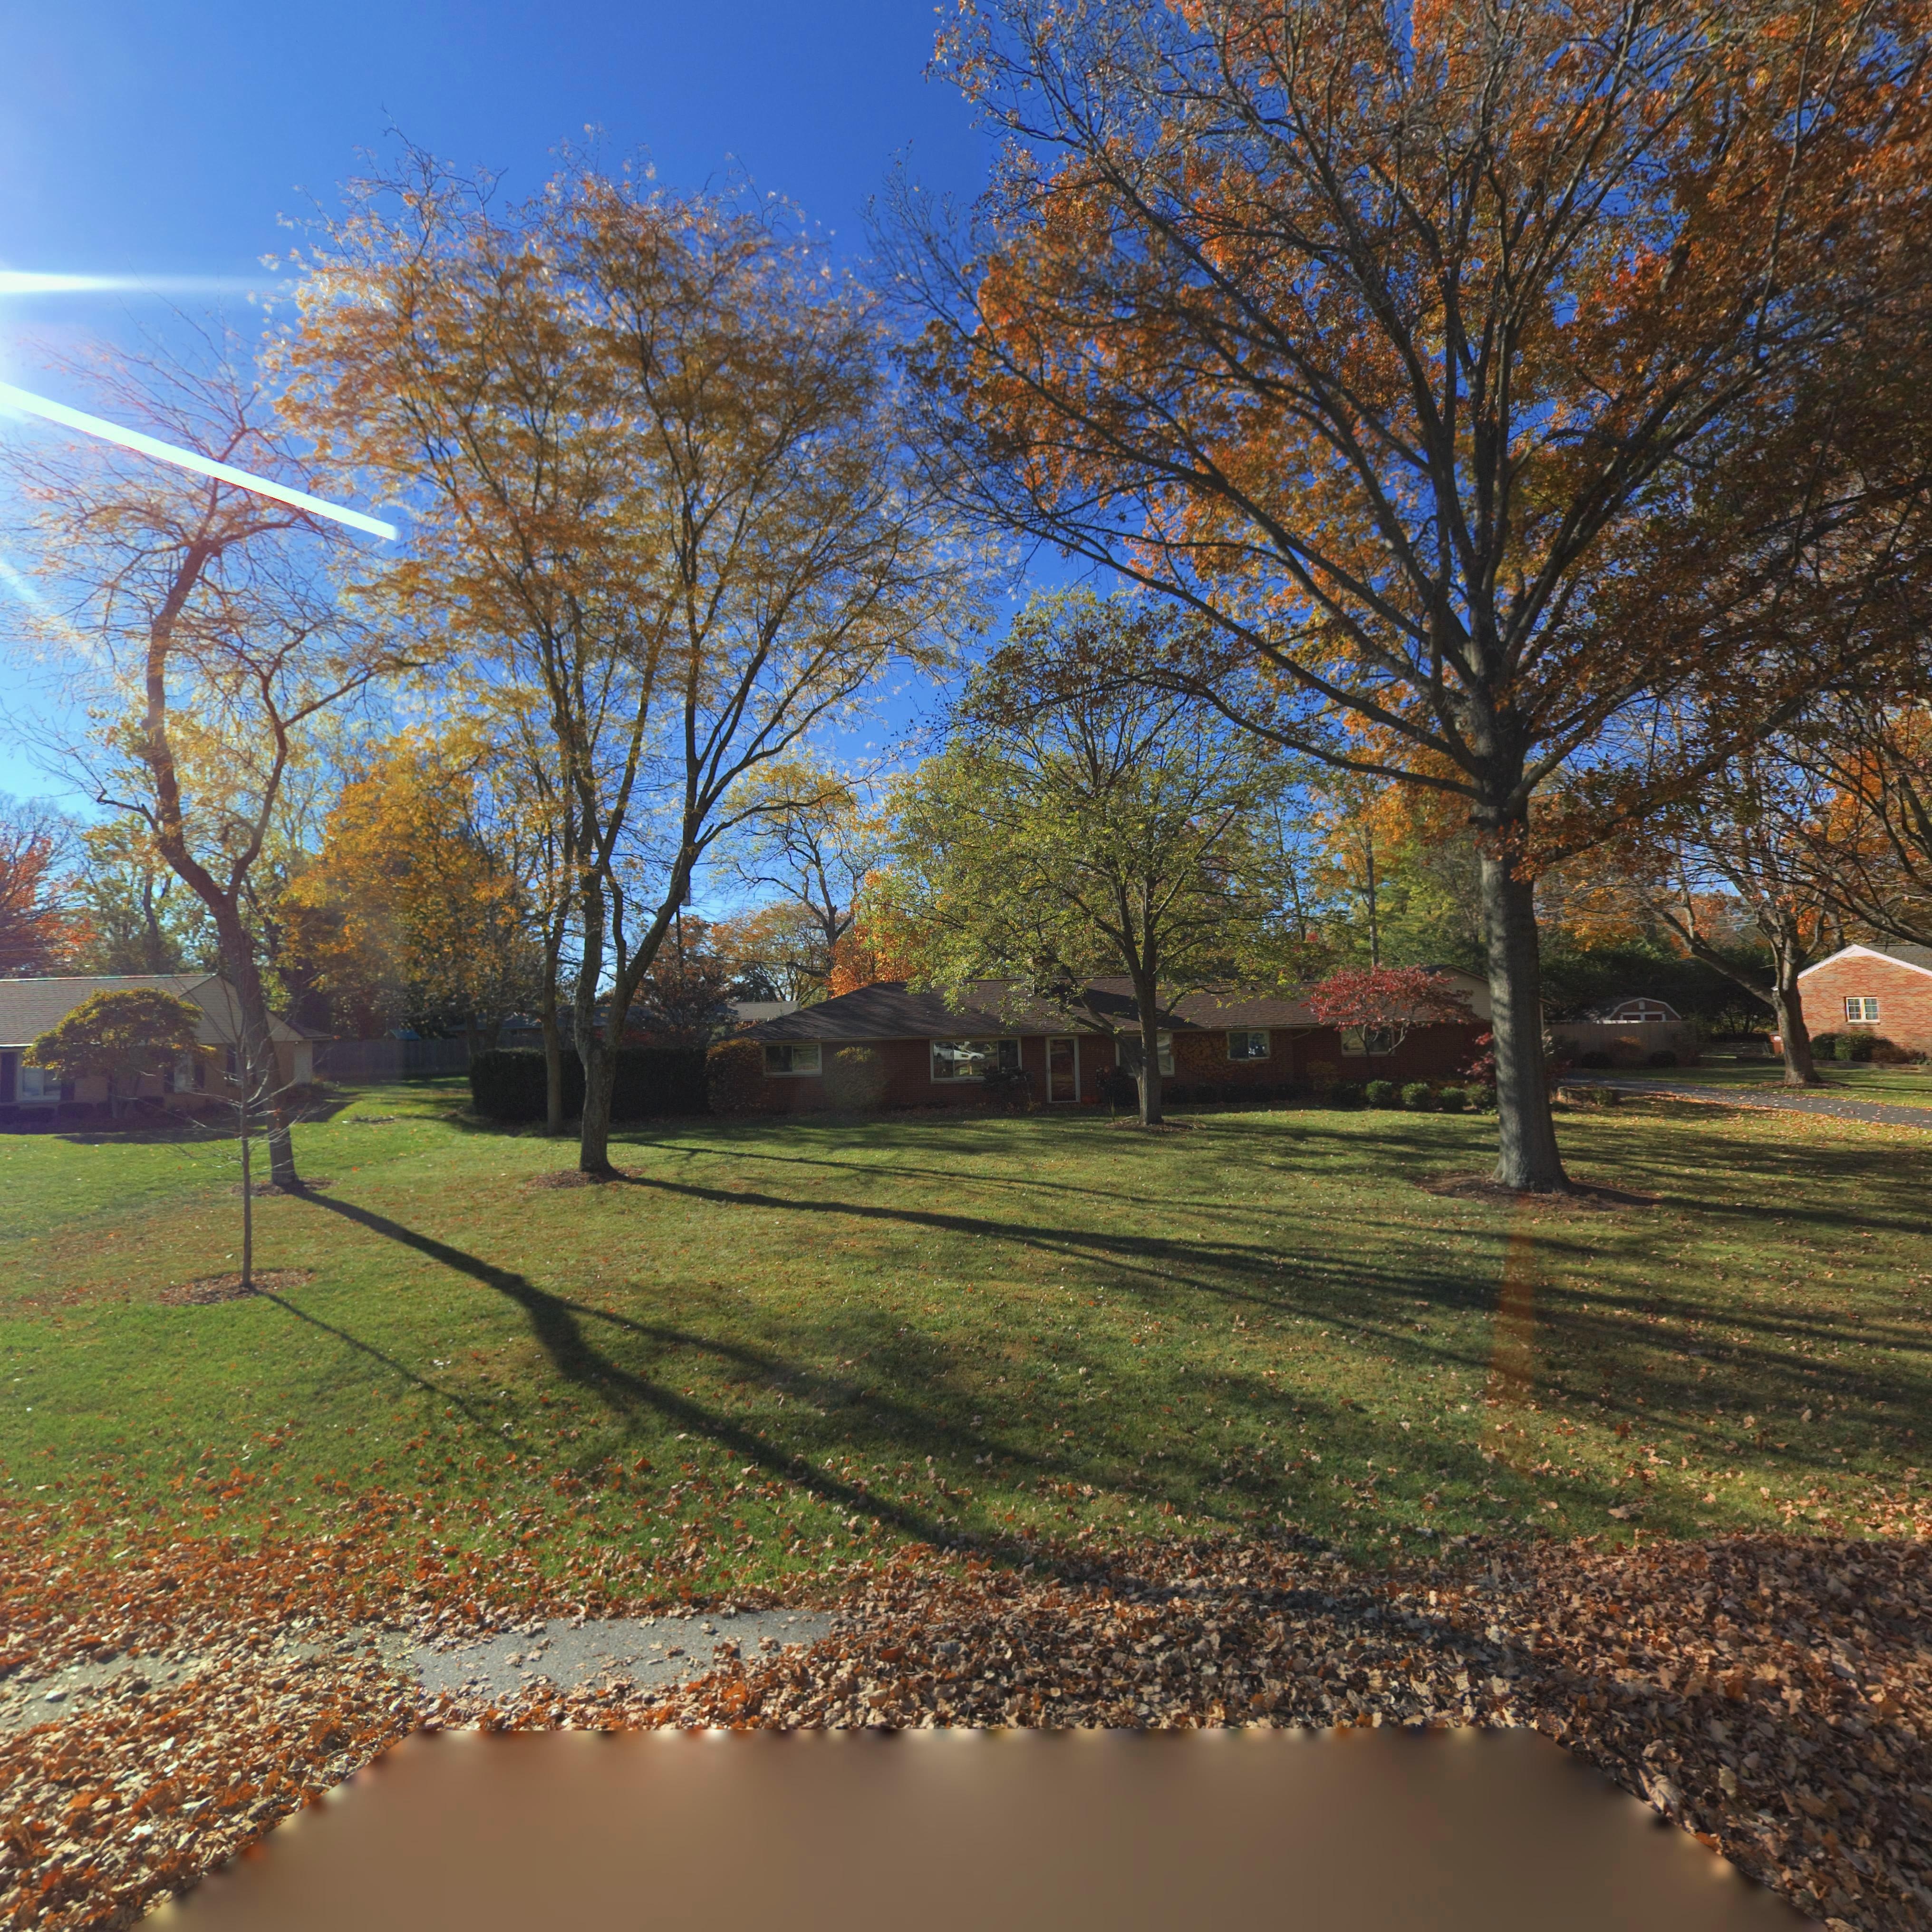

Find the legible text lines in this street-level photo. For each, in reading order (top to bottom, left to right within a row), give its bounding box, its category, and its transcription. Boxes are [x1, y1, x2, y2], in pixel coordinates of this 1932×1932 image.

[1085, 1044, 1105, 1056] StreetNumber: 5607